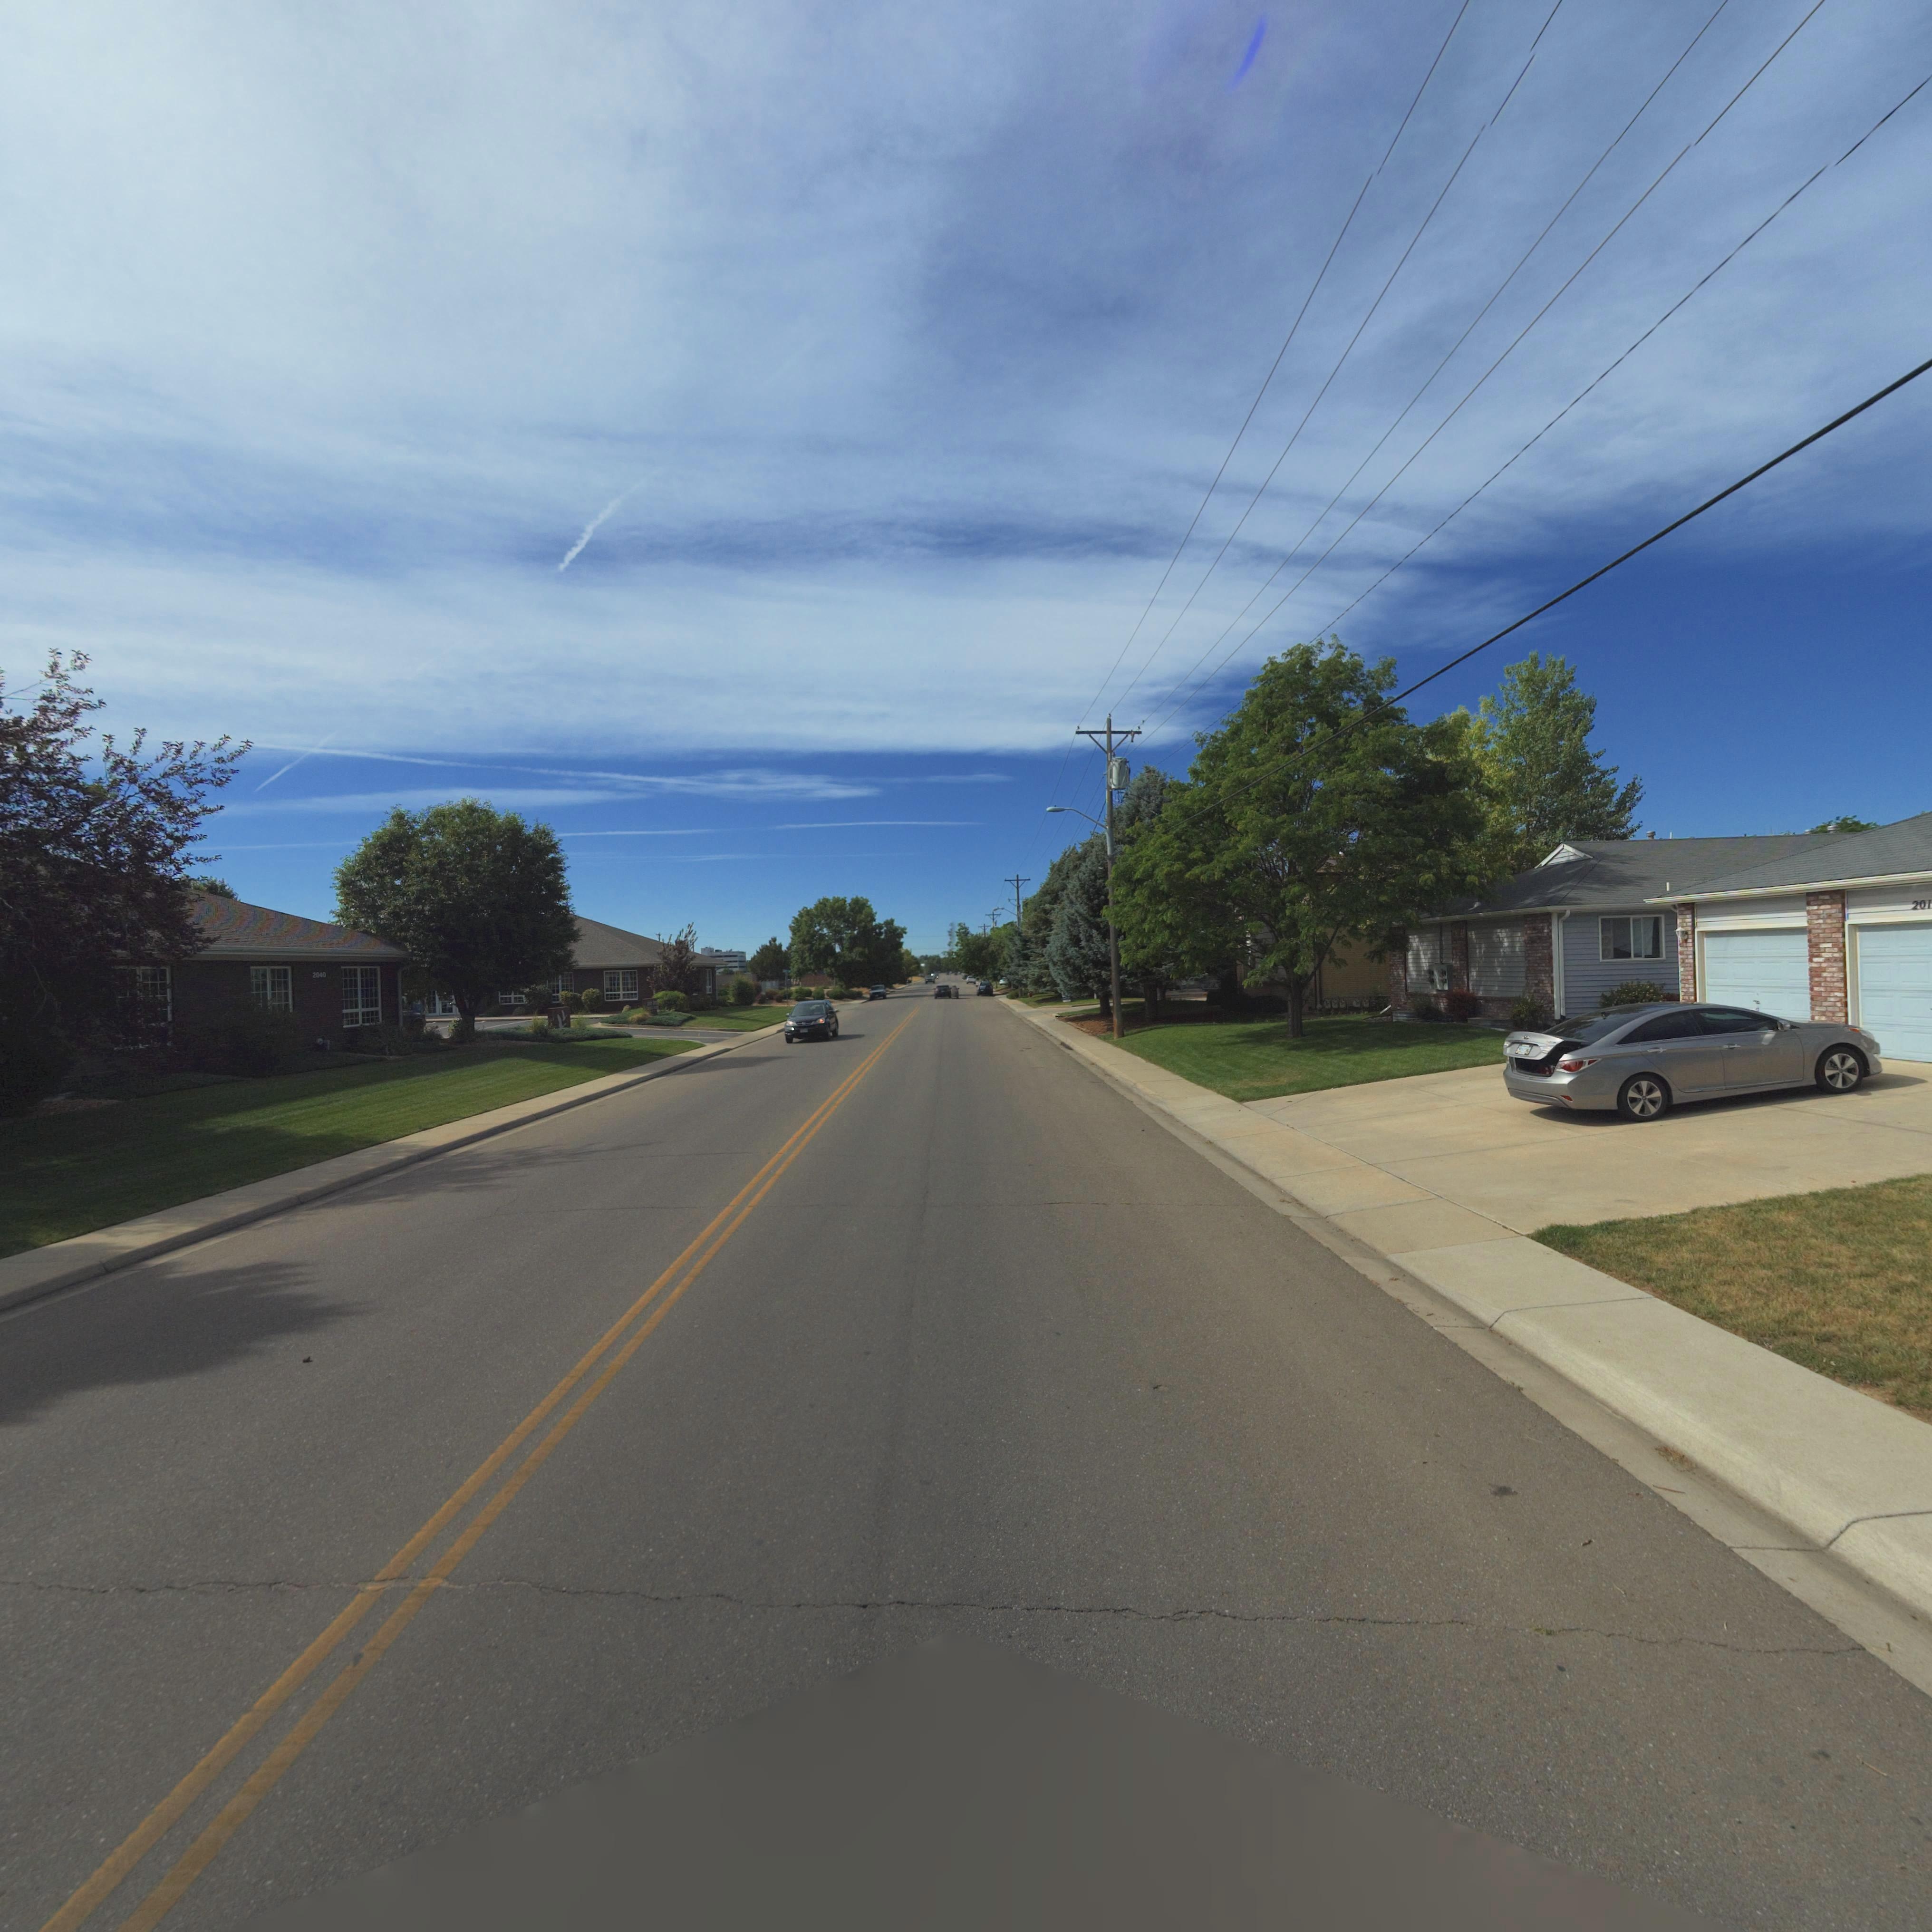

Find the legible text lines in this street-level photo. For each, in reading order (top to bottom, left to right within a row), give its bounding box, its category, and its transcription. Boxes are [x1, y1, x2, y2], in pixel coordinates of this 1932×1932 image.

[1911, 899, 1931, 910] StreetNumber: 201
[312, 971, 326, 978] StreetNumber: 2040